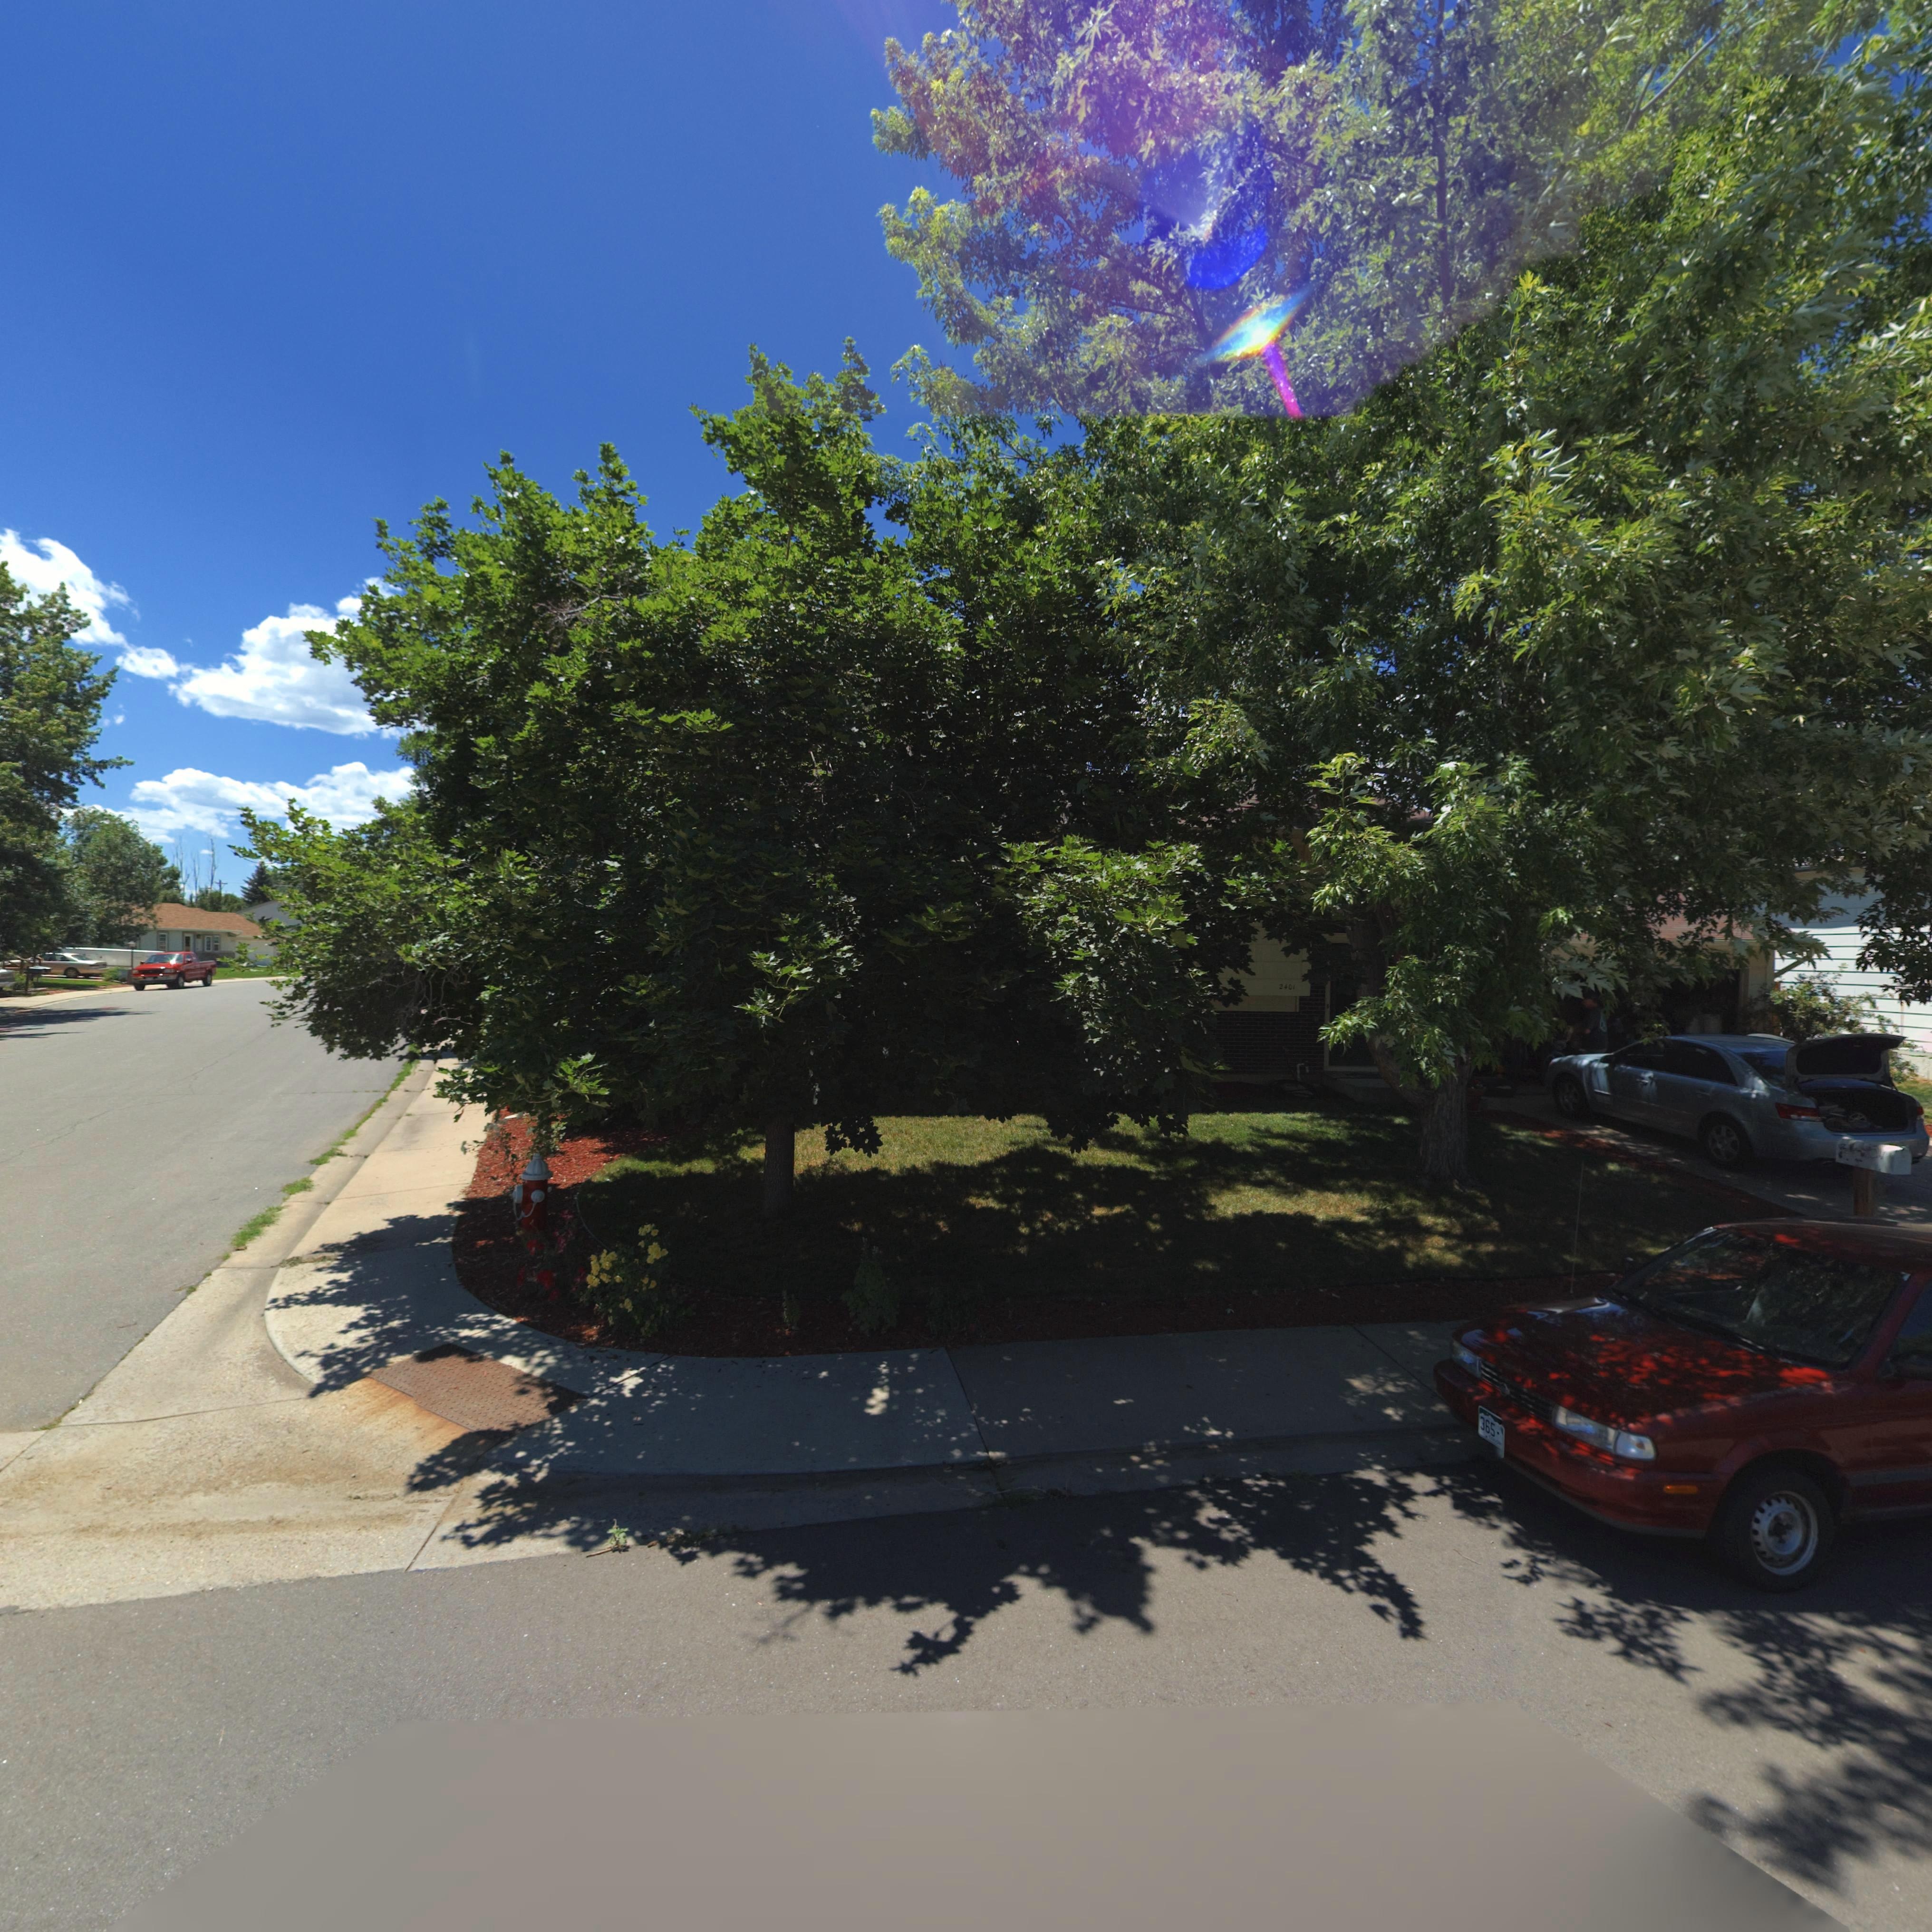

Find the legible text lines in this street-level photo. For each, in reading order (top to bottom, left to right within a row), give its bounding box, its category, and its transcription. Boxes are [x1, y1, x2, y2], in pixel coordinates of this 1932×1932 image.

[1279, 983, 1296, 990] StreetNumber: 2401